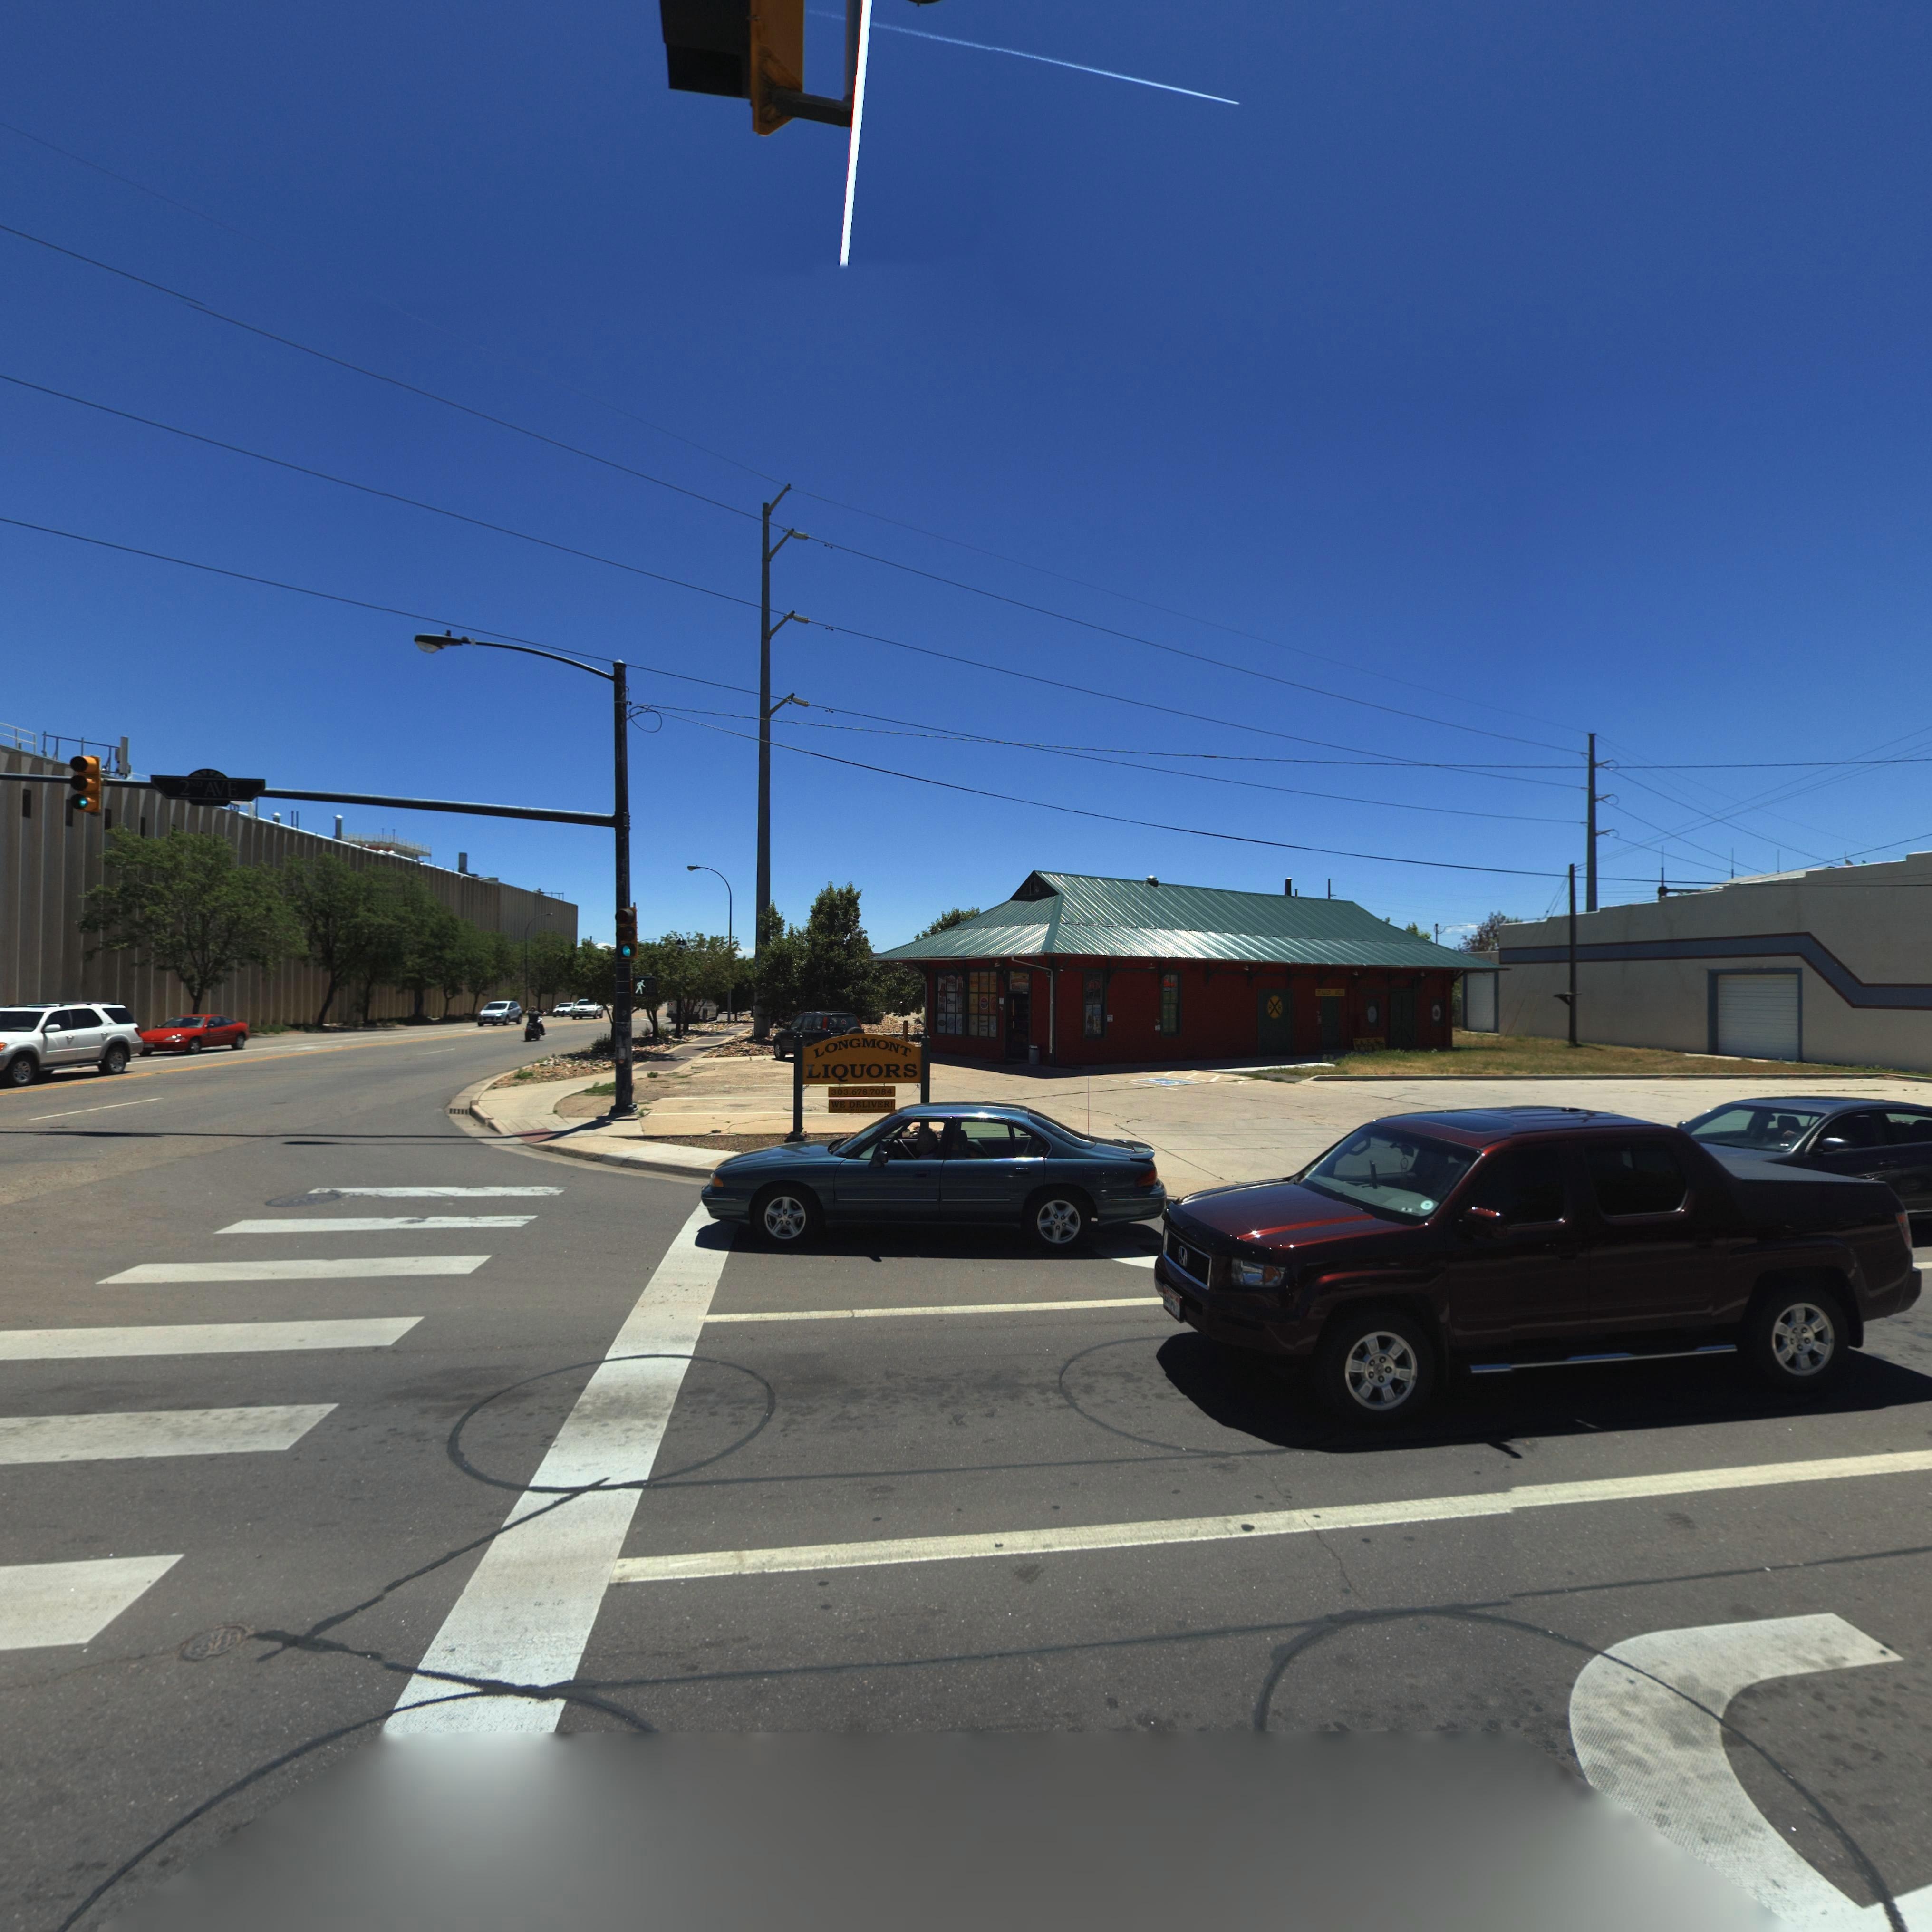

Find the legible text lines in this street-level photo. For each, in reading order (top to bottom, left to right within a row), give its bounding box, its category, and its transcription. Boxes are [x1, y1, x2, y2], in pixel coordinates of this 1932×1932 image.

[179, 779, 238, 798] StreetName: 2ND AVE
[1316, 989, 1331, 995] BusinessName: T*A*E*
[812, 1037, 912, 1059] BusinessName: LONGMONT
[1352, 1038, 1387, 1052] BusinessName: TRADER NED
[806, 1063, 918, 1082] BusinessName: LIQUORS